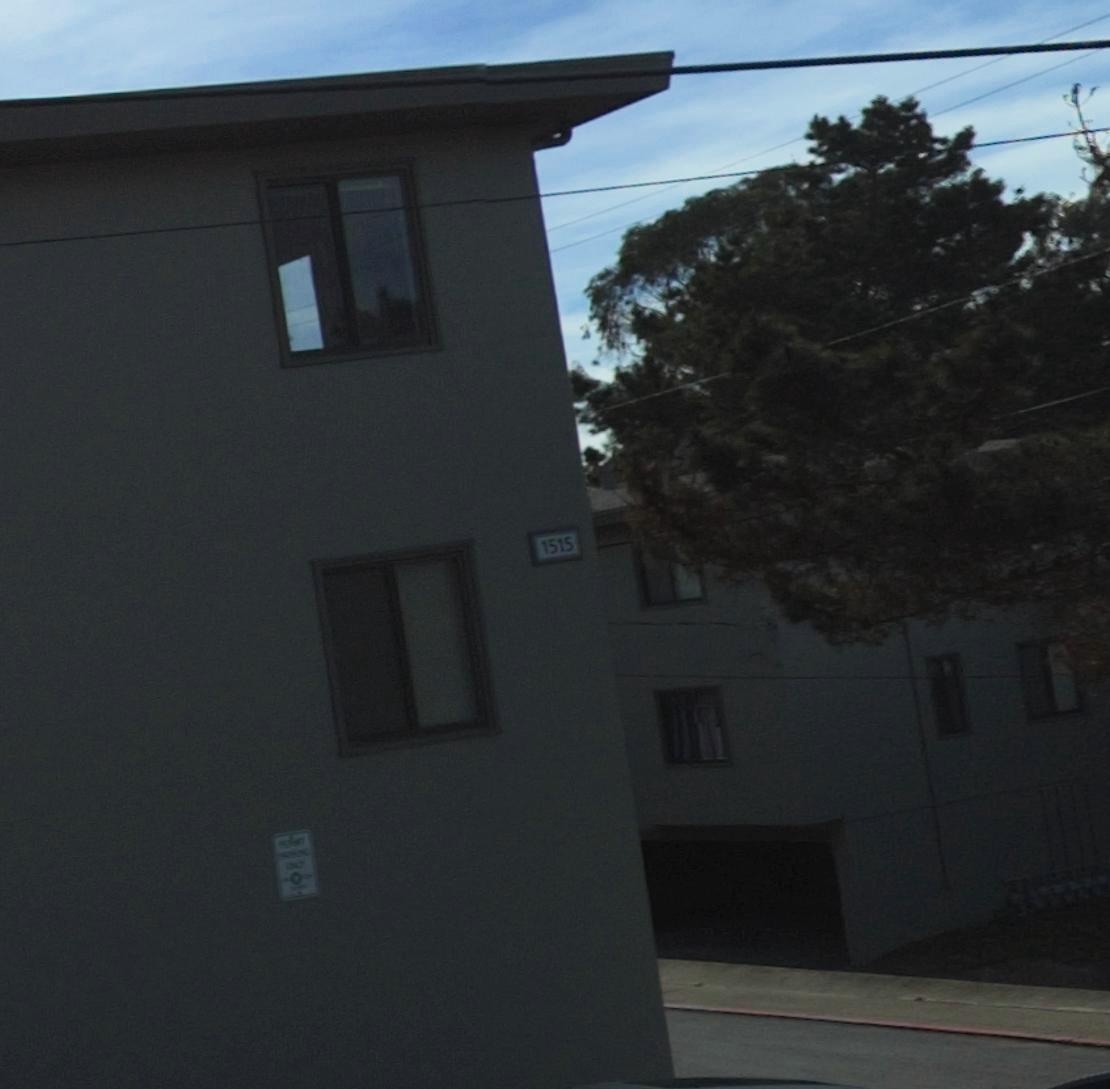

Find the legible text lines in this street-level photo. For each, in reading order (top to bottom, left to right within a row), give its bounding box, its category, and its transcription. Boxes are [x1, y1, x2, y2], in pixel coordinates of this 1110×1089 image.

[538, 533, 577, 558] StreetNumber: 1515